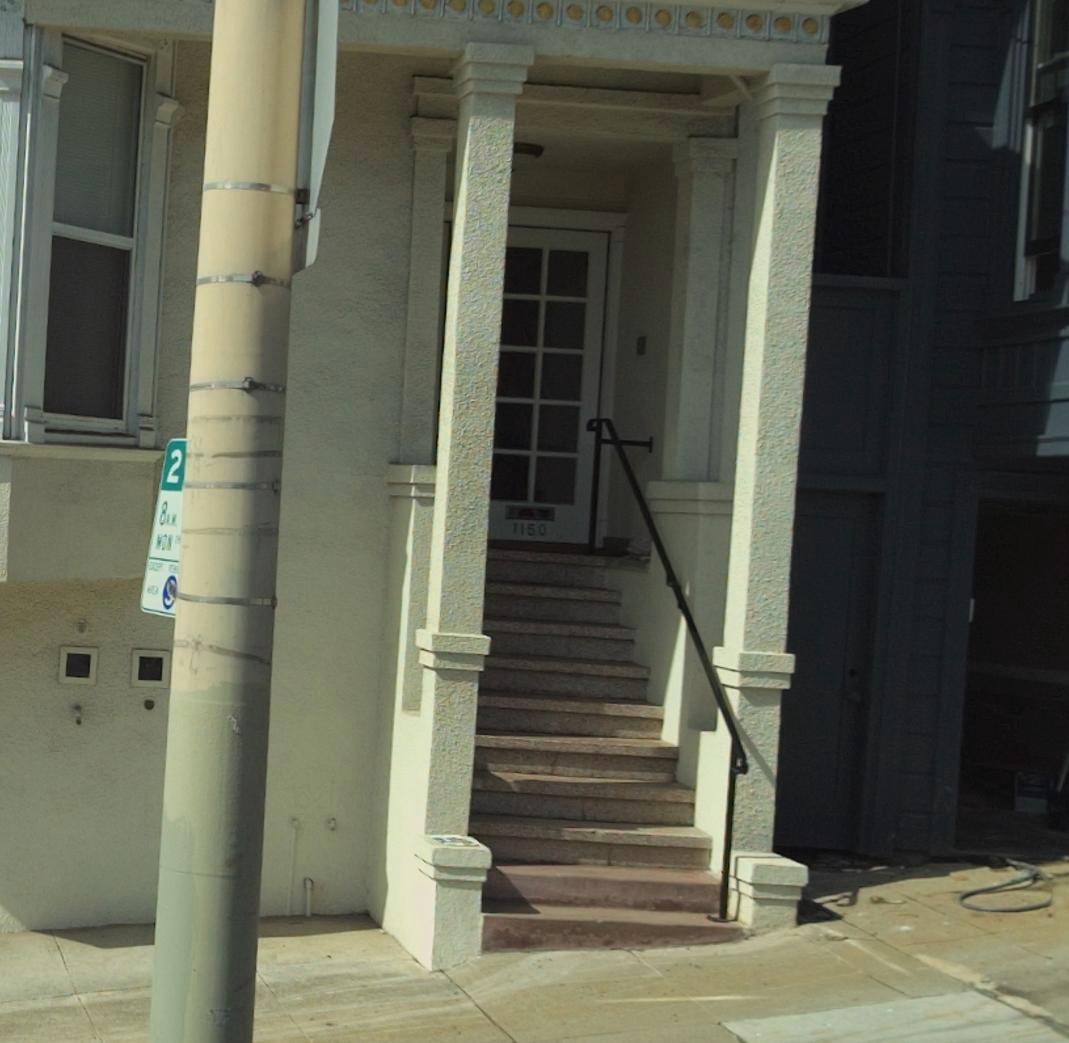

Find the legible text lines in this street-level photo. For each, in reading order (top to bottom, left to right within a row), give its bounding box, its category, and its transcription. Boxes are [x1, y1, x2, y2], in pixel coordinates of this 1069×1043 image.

[164, 446, 184, 486] None: 2
[157, 499, 169, 529] None: 8
[164, 512, 179, 528] None: A.M.
[511, 521, 548, 538] StreetNumber: 1150
[153, 531, 174, 554] None: MON